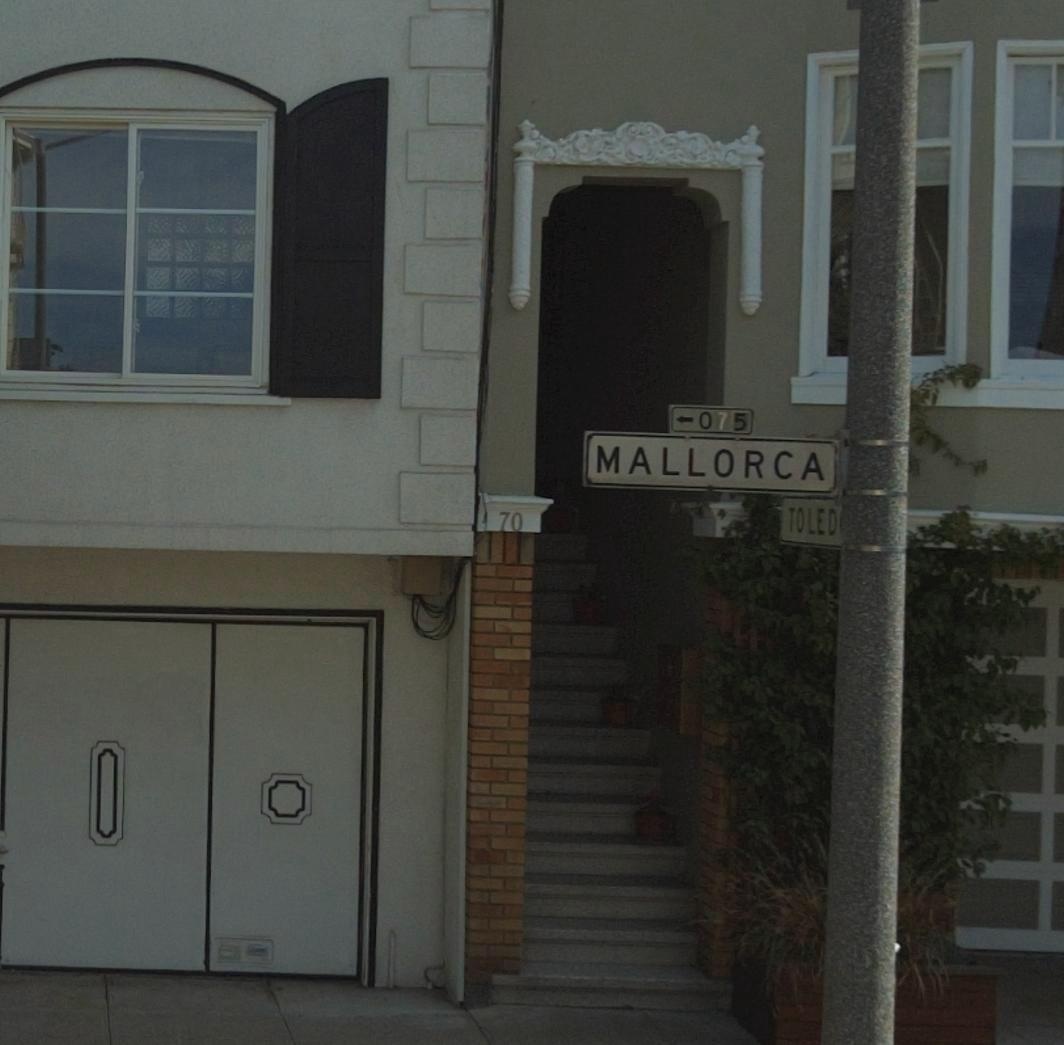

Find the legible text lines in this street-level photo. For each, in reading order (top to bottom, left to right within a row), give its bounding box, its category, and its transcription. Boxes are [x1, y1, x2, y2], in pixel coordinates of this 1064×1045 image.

[672, 408, 751, 435] StreetNumberRange: <-075
[593, 441, 829, 484] StreetName: MALLORCA
[496, 509, 525, 535] StreetNumber: 70
[785, 504, 840, 539] StreetName: TOLED